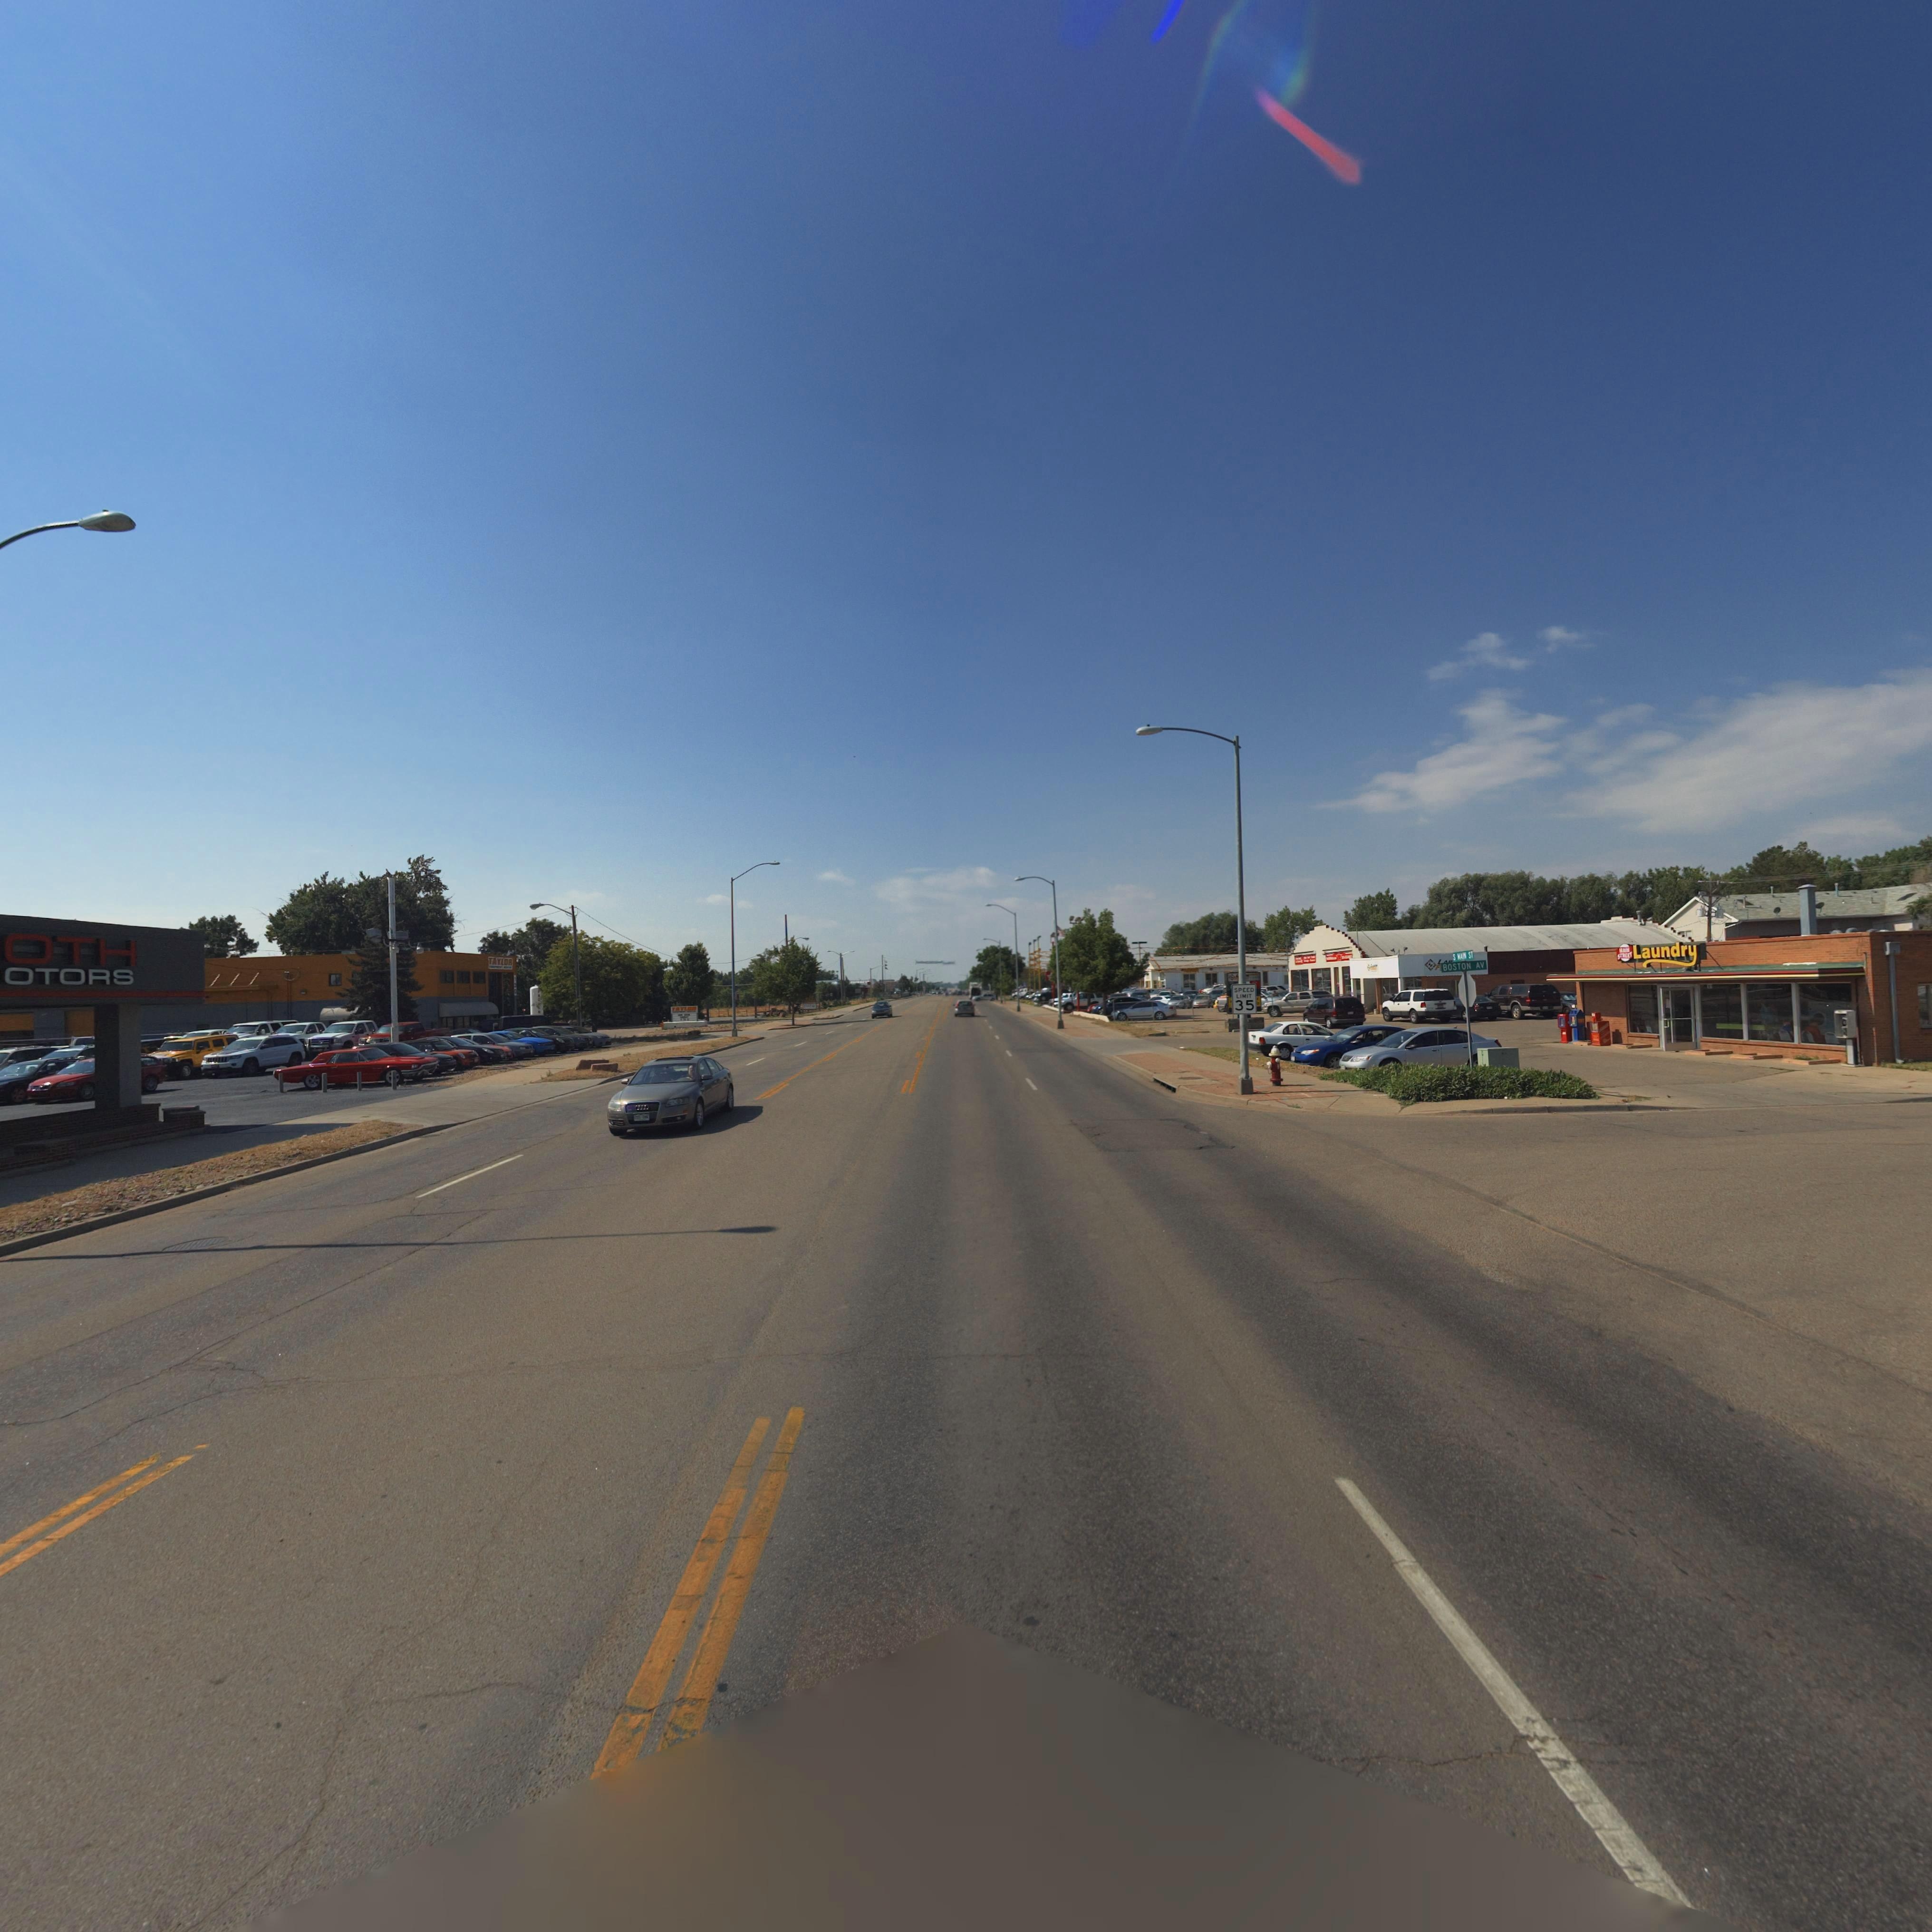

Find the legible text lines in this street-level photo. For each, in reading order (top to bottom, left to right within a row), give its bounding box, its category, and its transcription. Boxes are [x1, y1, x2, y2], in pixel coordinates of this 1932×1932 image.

[3, 932, 137, 967] BusinessName: OTH
[1452, 950, 1473, 960] StreetName: S **** ST
[1619, 947, 1629, 953] BusinessName: ***N
[1617, 951, 1632, 960] BusinessName: STREET
[1632, 941, 1698, 966] BusinessName: Laundry
[488, 957, 512, 966] BusinessName: TAYLOR
[1434, 965, 1440, 970] BusinessName: F
[1437, 958, 1441, 964] BusinessName: L
[1443, 961, 1484, 971] StreetName: BOSTON AV
[3, 967, 135, 985] BusinessName: OTORS
[514, 976, 516, 994] StreetNumber: 130
[672, 1006, 696, 1011] BusinessName: TAYL**